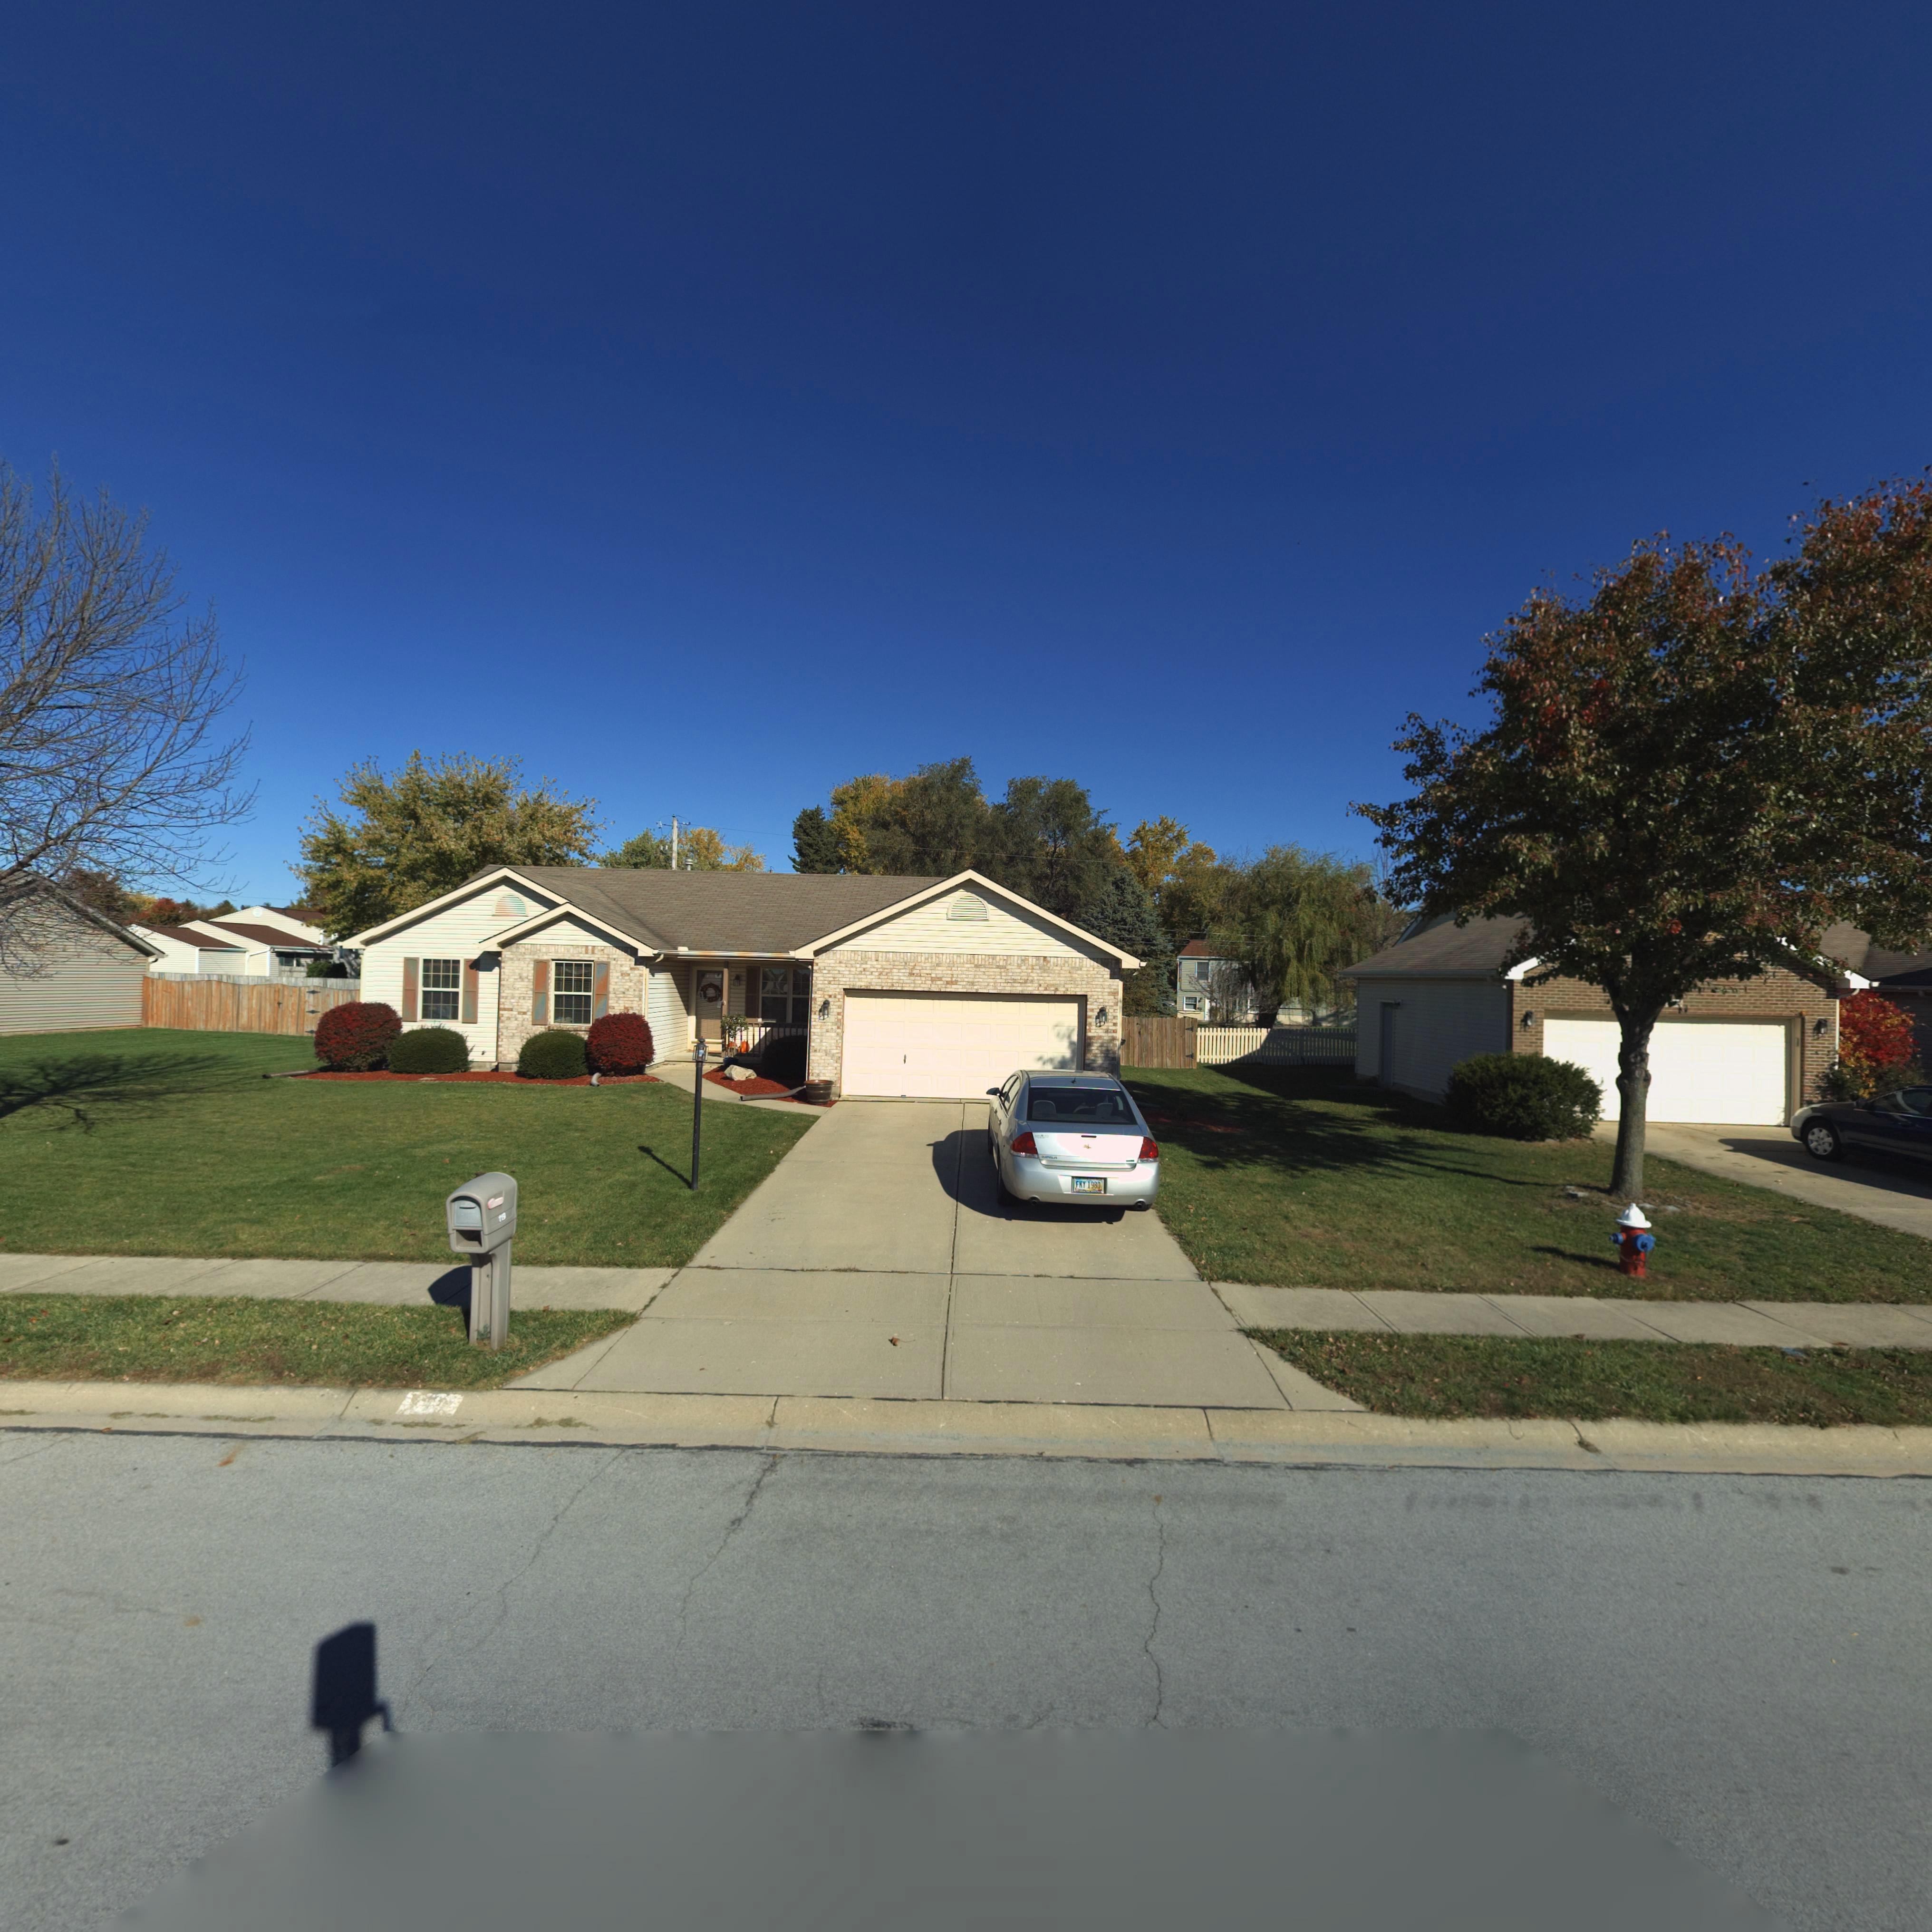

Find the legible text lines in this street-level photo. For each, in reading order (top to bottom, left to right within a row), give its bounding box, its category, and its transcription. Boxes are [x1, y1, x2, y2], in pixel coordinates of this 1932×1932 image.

[1073, 1179, 1101, 1190] None: FKY 1980
[498, 1212, 506, 1223] StreetNumber: 119
[433, 1396, 449, 1415] StreetNumber: 9